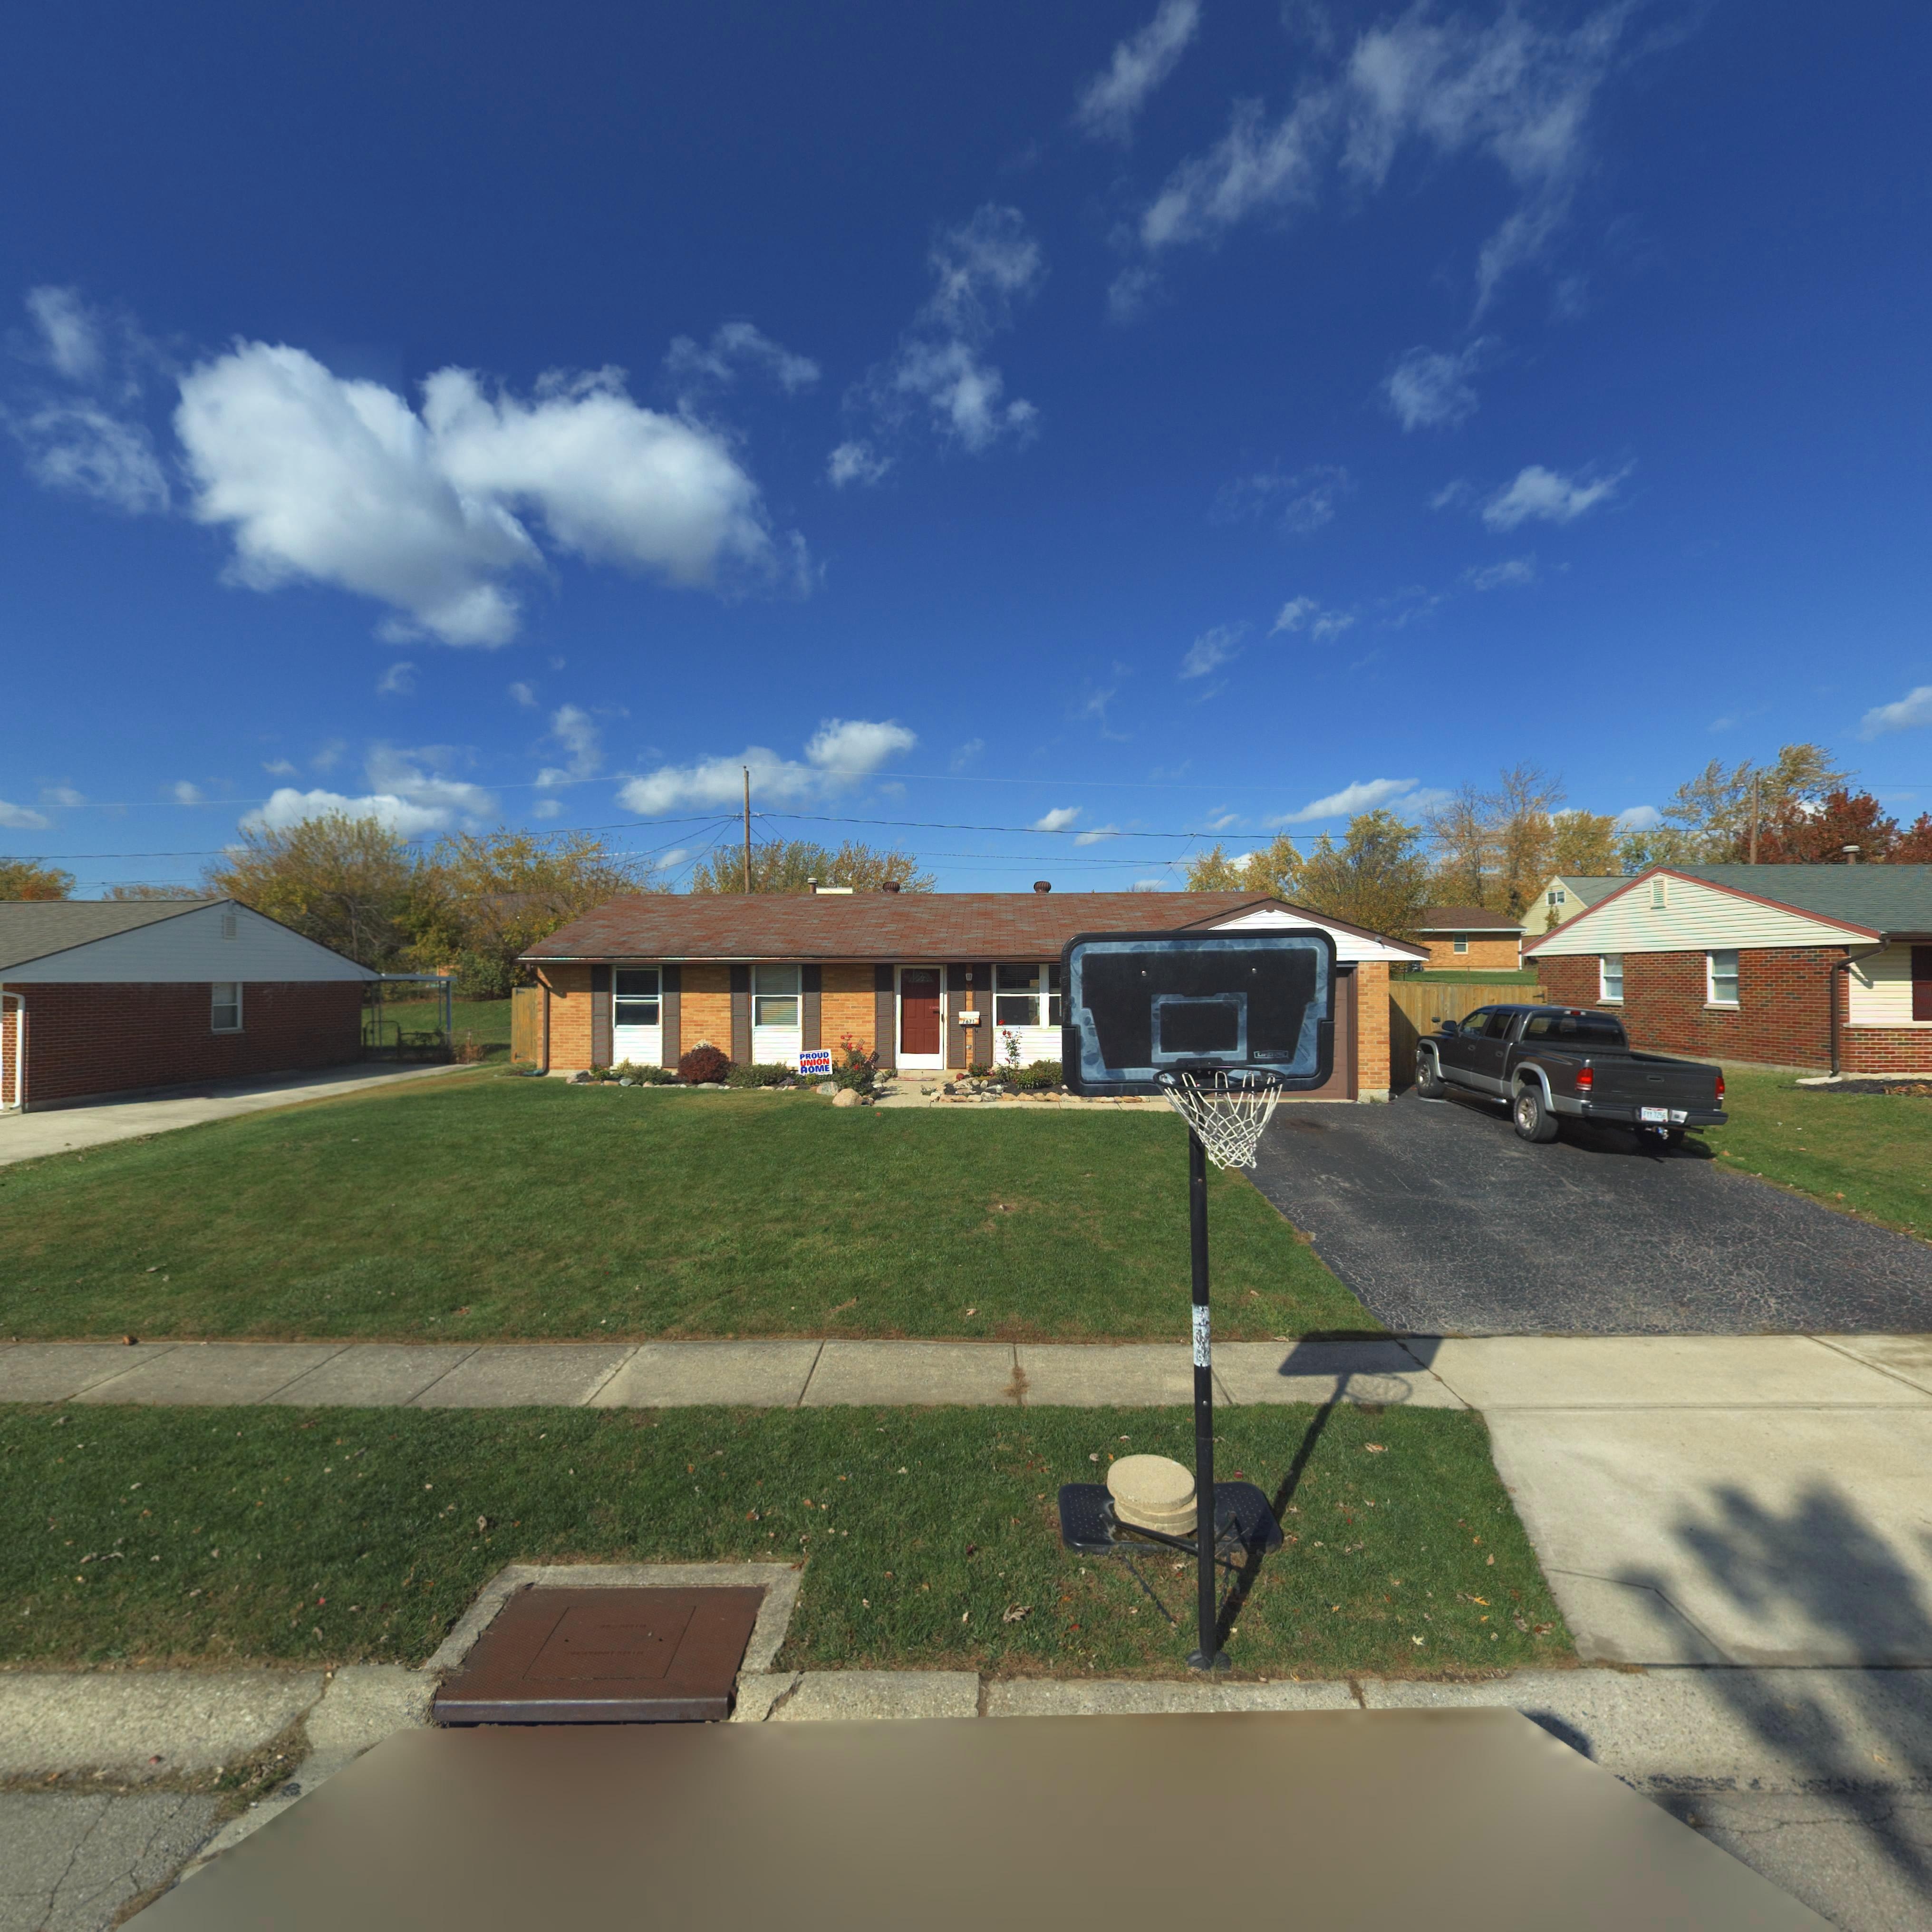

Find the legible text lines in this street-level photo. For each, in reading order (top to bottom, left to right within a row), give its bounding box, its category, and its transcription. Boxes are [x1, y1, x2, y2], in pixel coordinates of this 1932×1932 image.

[962, 1019, 975, 1024] StreetNumber: 7671